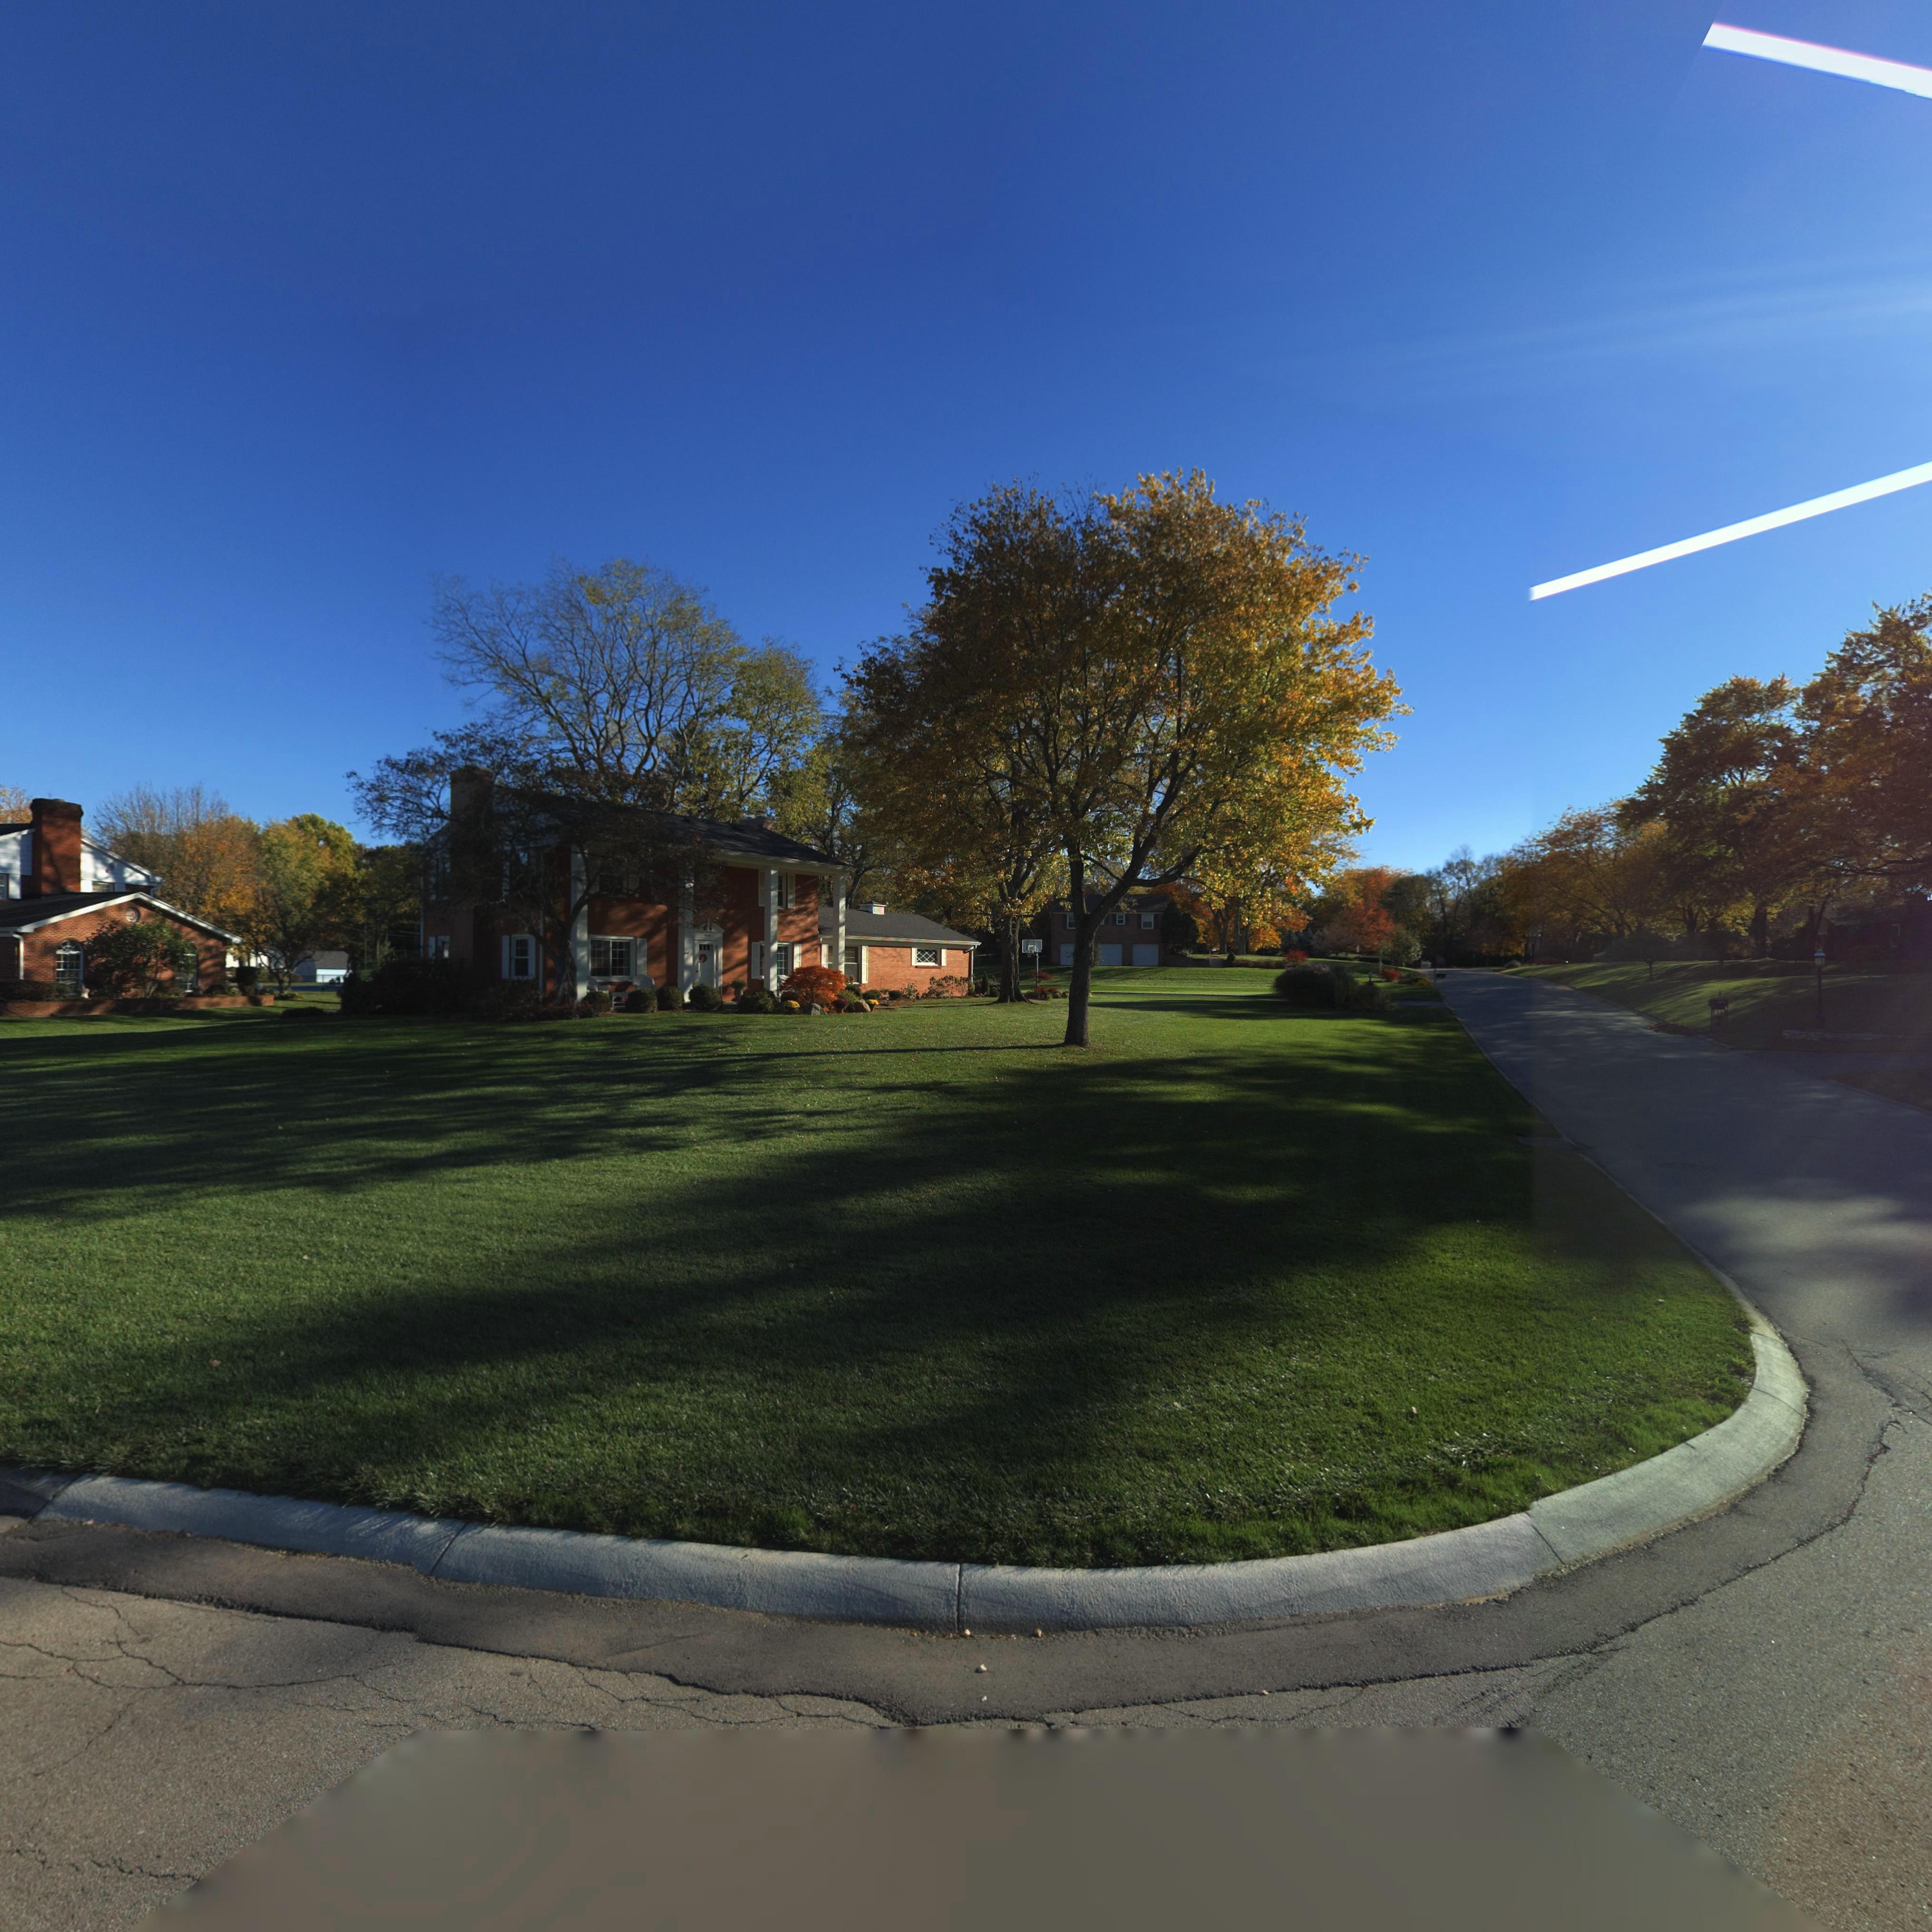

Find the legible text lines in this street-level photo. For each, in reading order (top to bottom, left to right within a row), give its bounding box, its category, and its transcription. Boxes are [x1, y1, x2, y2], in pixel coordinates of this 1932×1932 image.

[703, 933, 711, 937] StreetNumber: 5830